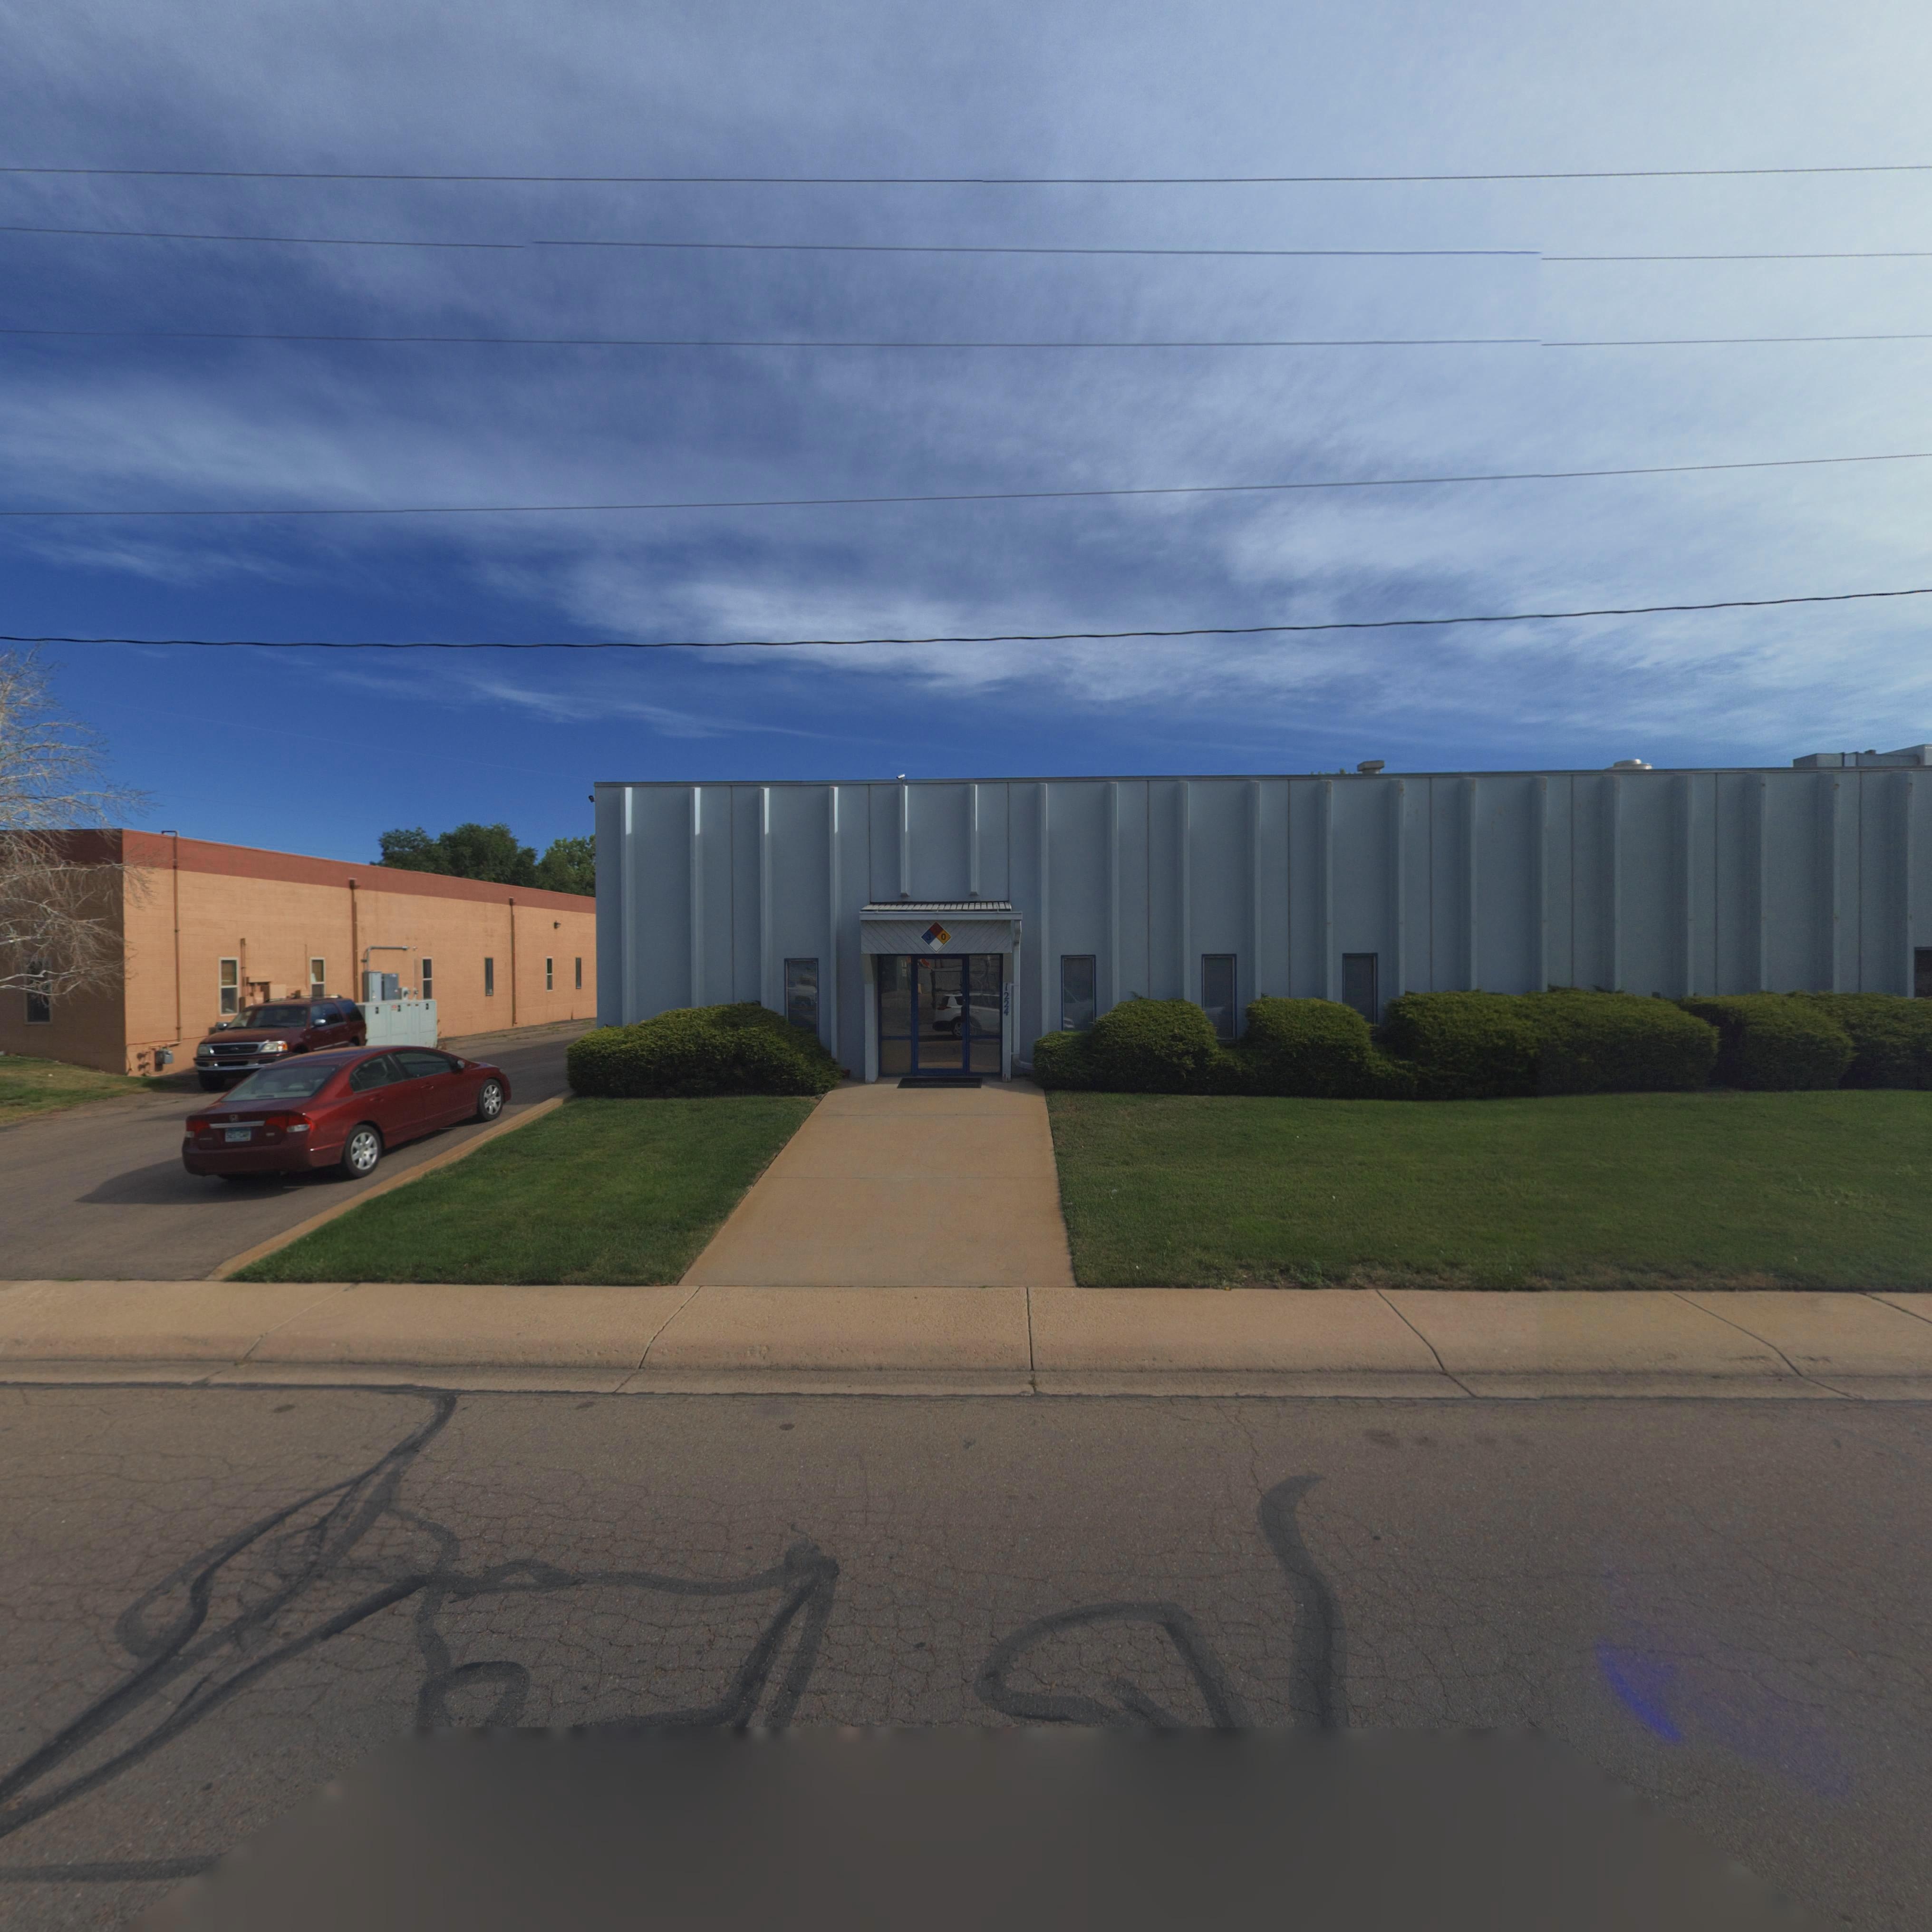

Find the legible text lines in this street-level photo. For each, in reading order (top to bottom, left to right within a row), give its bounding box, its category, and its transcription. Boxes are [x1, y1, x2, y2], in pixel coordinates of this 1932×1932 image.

[1003, 982, 1010, 1016] StreetNumber: 1224